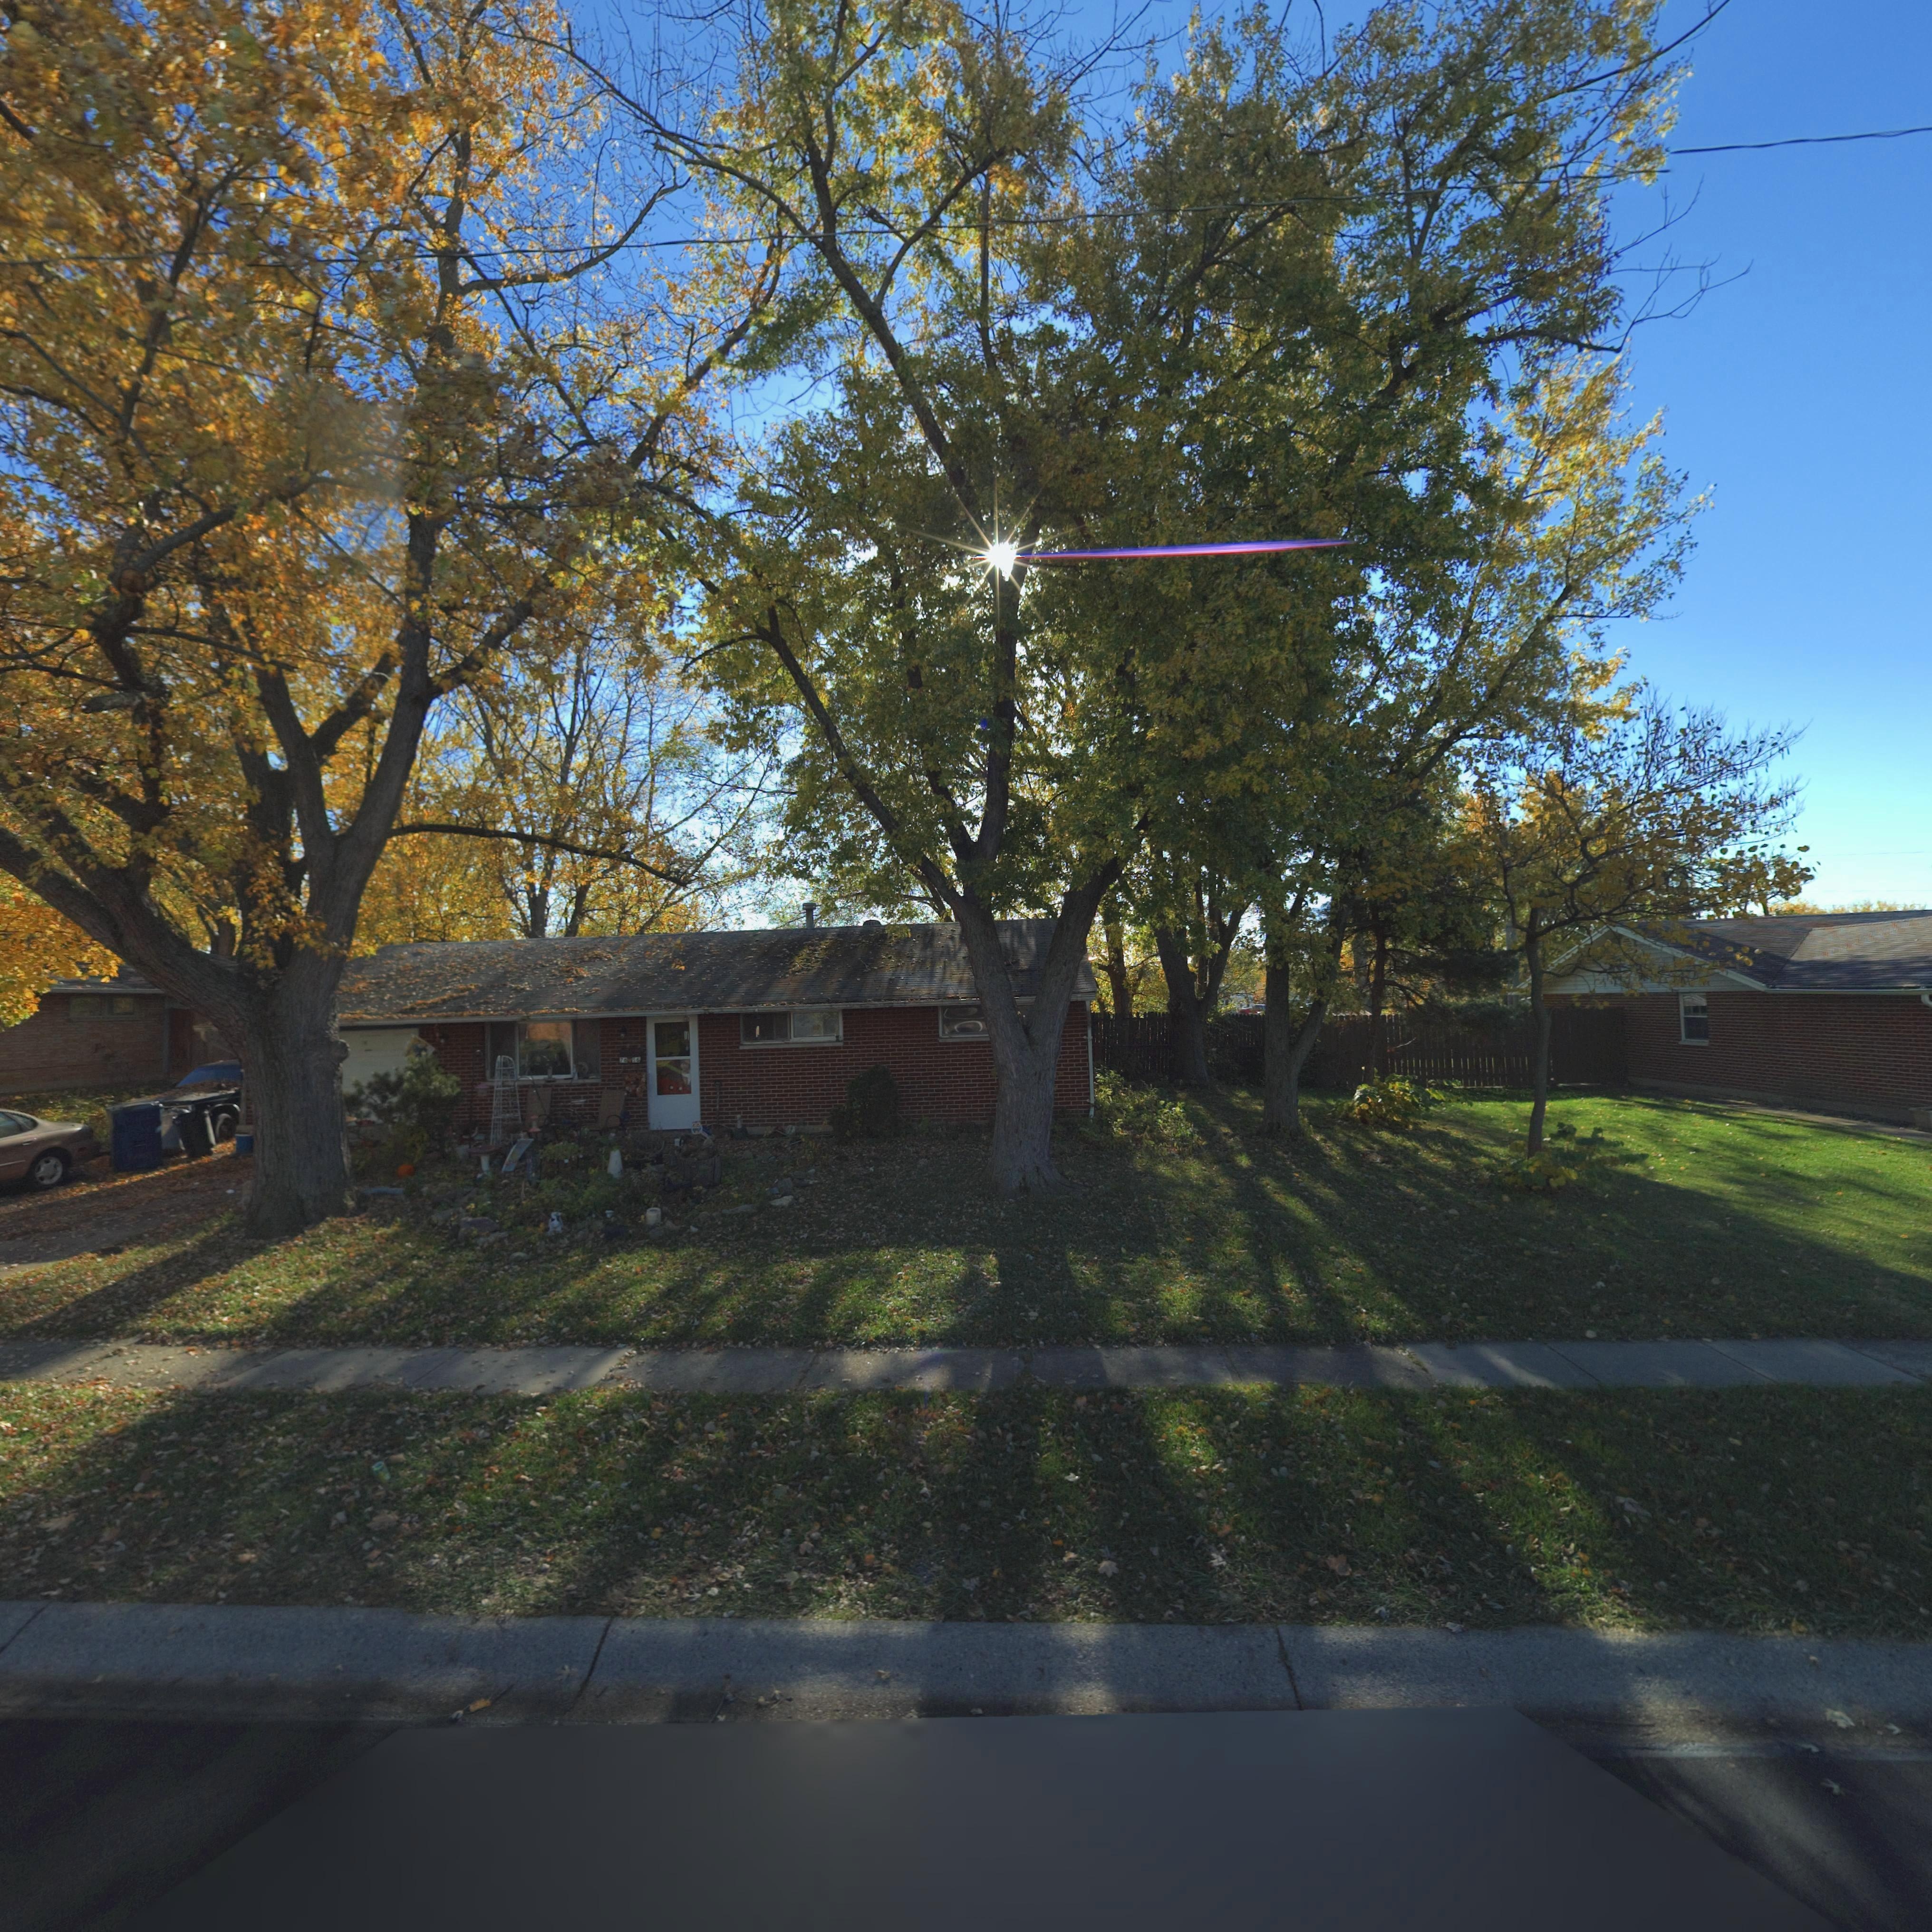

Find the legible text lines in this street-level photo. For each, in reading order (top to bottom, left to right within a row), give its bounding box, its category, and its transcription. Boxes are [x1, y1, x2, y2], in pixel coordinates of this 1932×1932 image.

[619, 1056, 641, 1064] StreetNumber: ***16